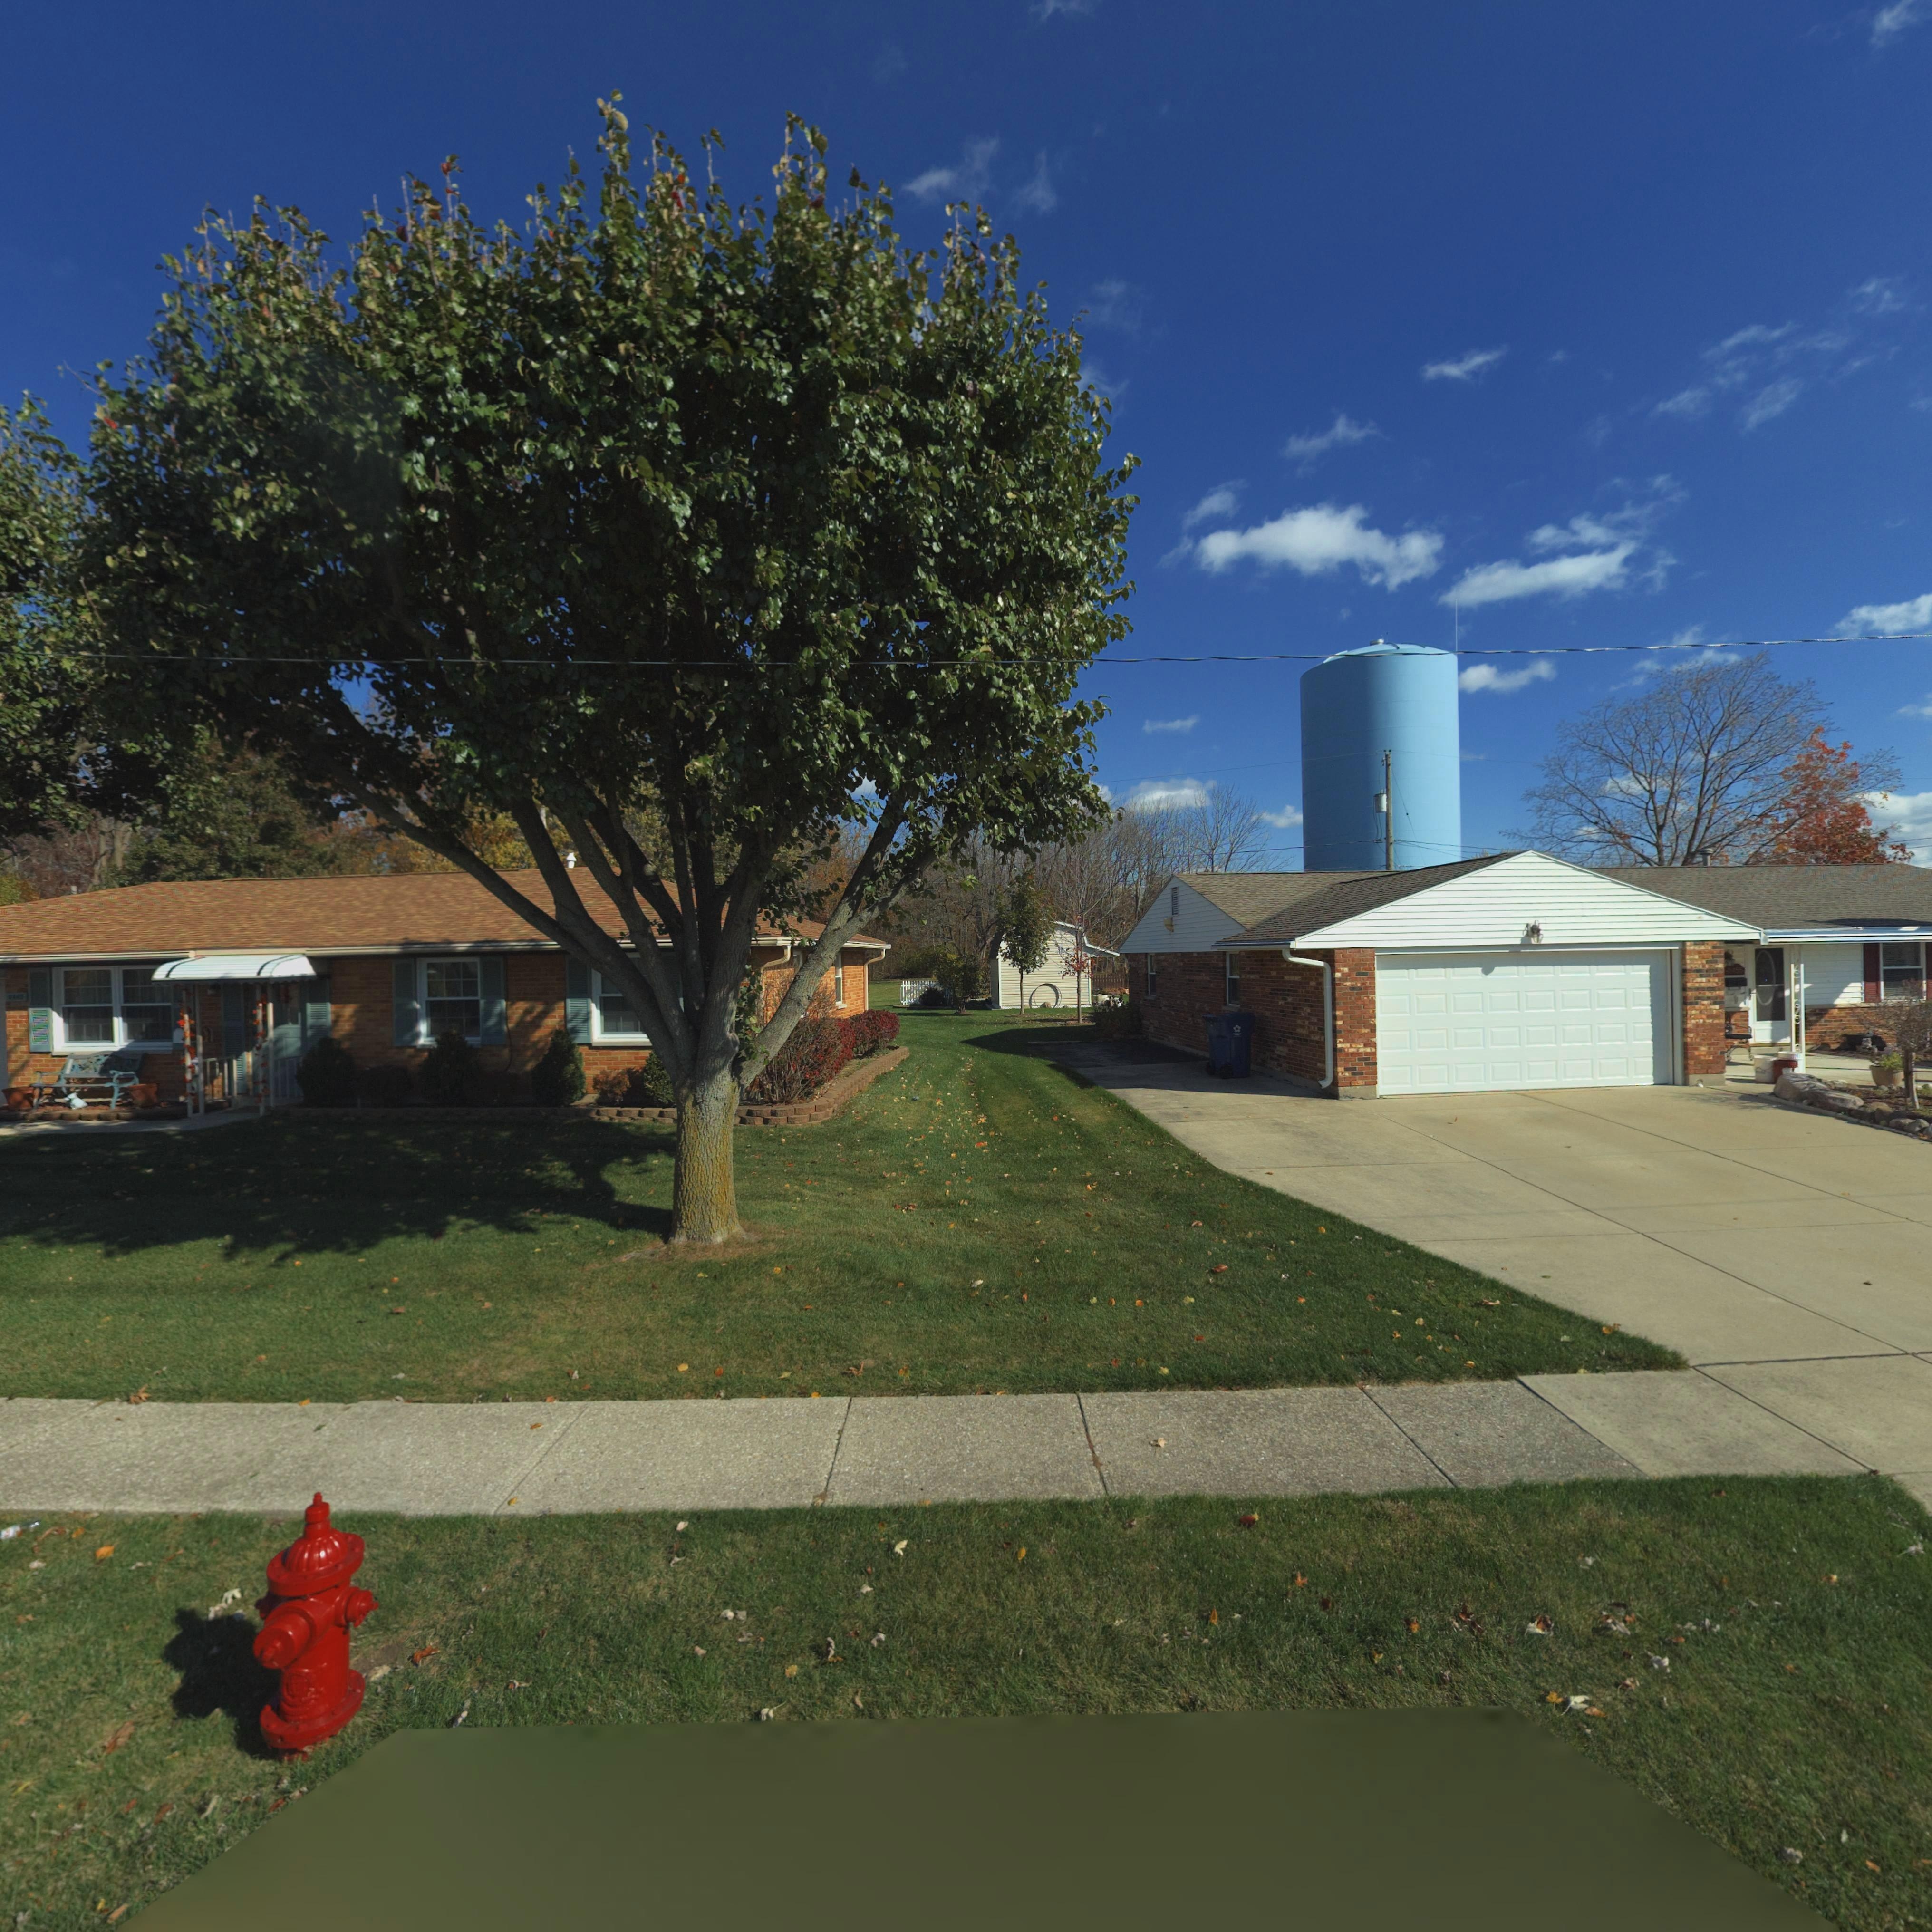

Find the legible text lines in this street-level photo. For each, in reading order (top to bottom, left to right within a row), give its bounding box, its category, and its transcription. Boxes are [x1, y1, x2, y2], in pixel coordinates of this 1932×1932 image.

[1726, 966, 1744, 975] StreetNumber: **55
[7, 993, 25, 1000] StreetNumber: 64*5